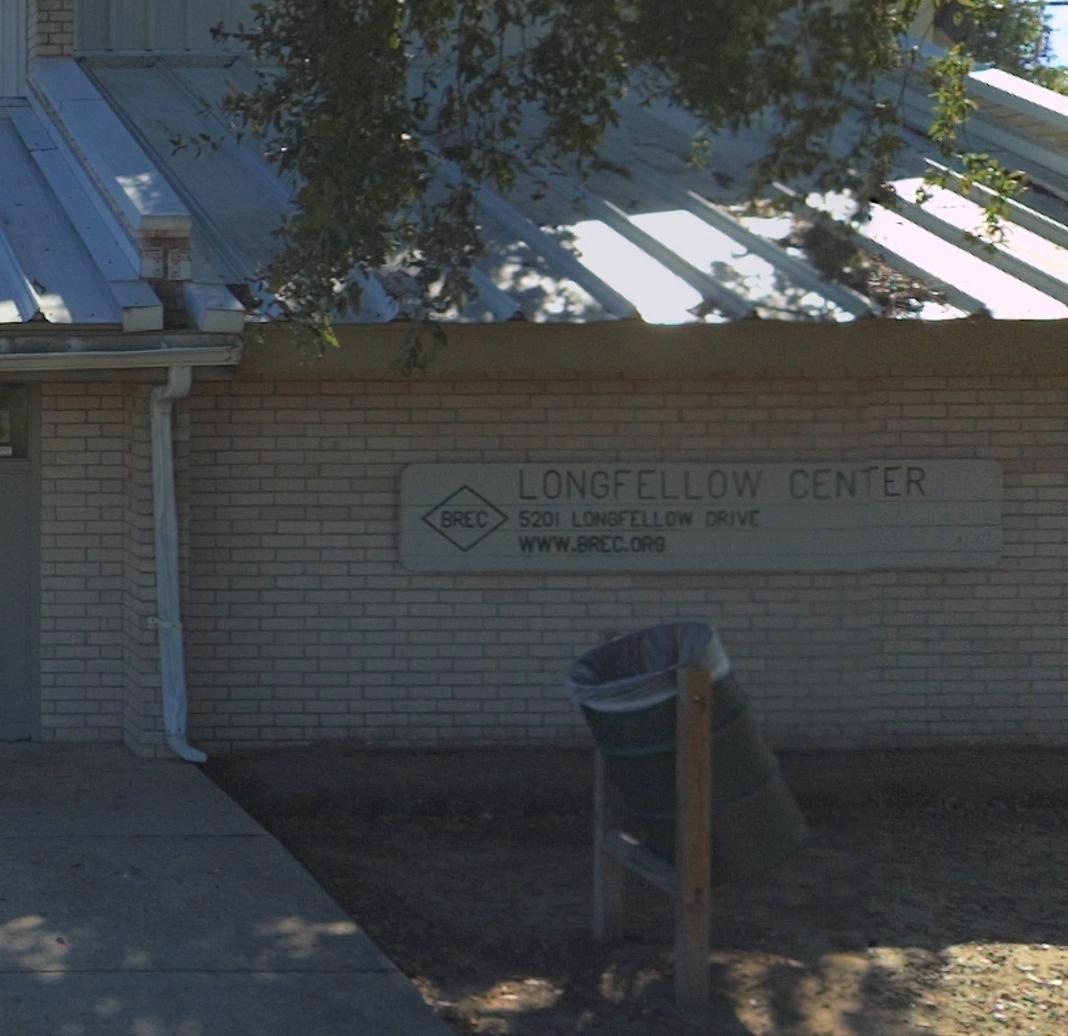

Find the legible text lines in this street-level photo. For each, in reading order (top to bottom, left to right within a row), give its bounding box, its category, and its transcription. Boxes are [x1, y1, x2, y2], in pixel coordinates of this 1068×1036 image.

[518, 466, 927, 500] BusinessName: LONGFELLOW CEN*ER
[440, 509, 489, 529] None: BREC
[518, 510, 560, 528] StreetNumber: 5201
[570, 510, 762, 528] StreetName: LONGFELLOW DRIVE
[518, 534, 667, 554] None: WWW.BREC.ORG